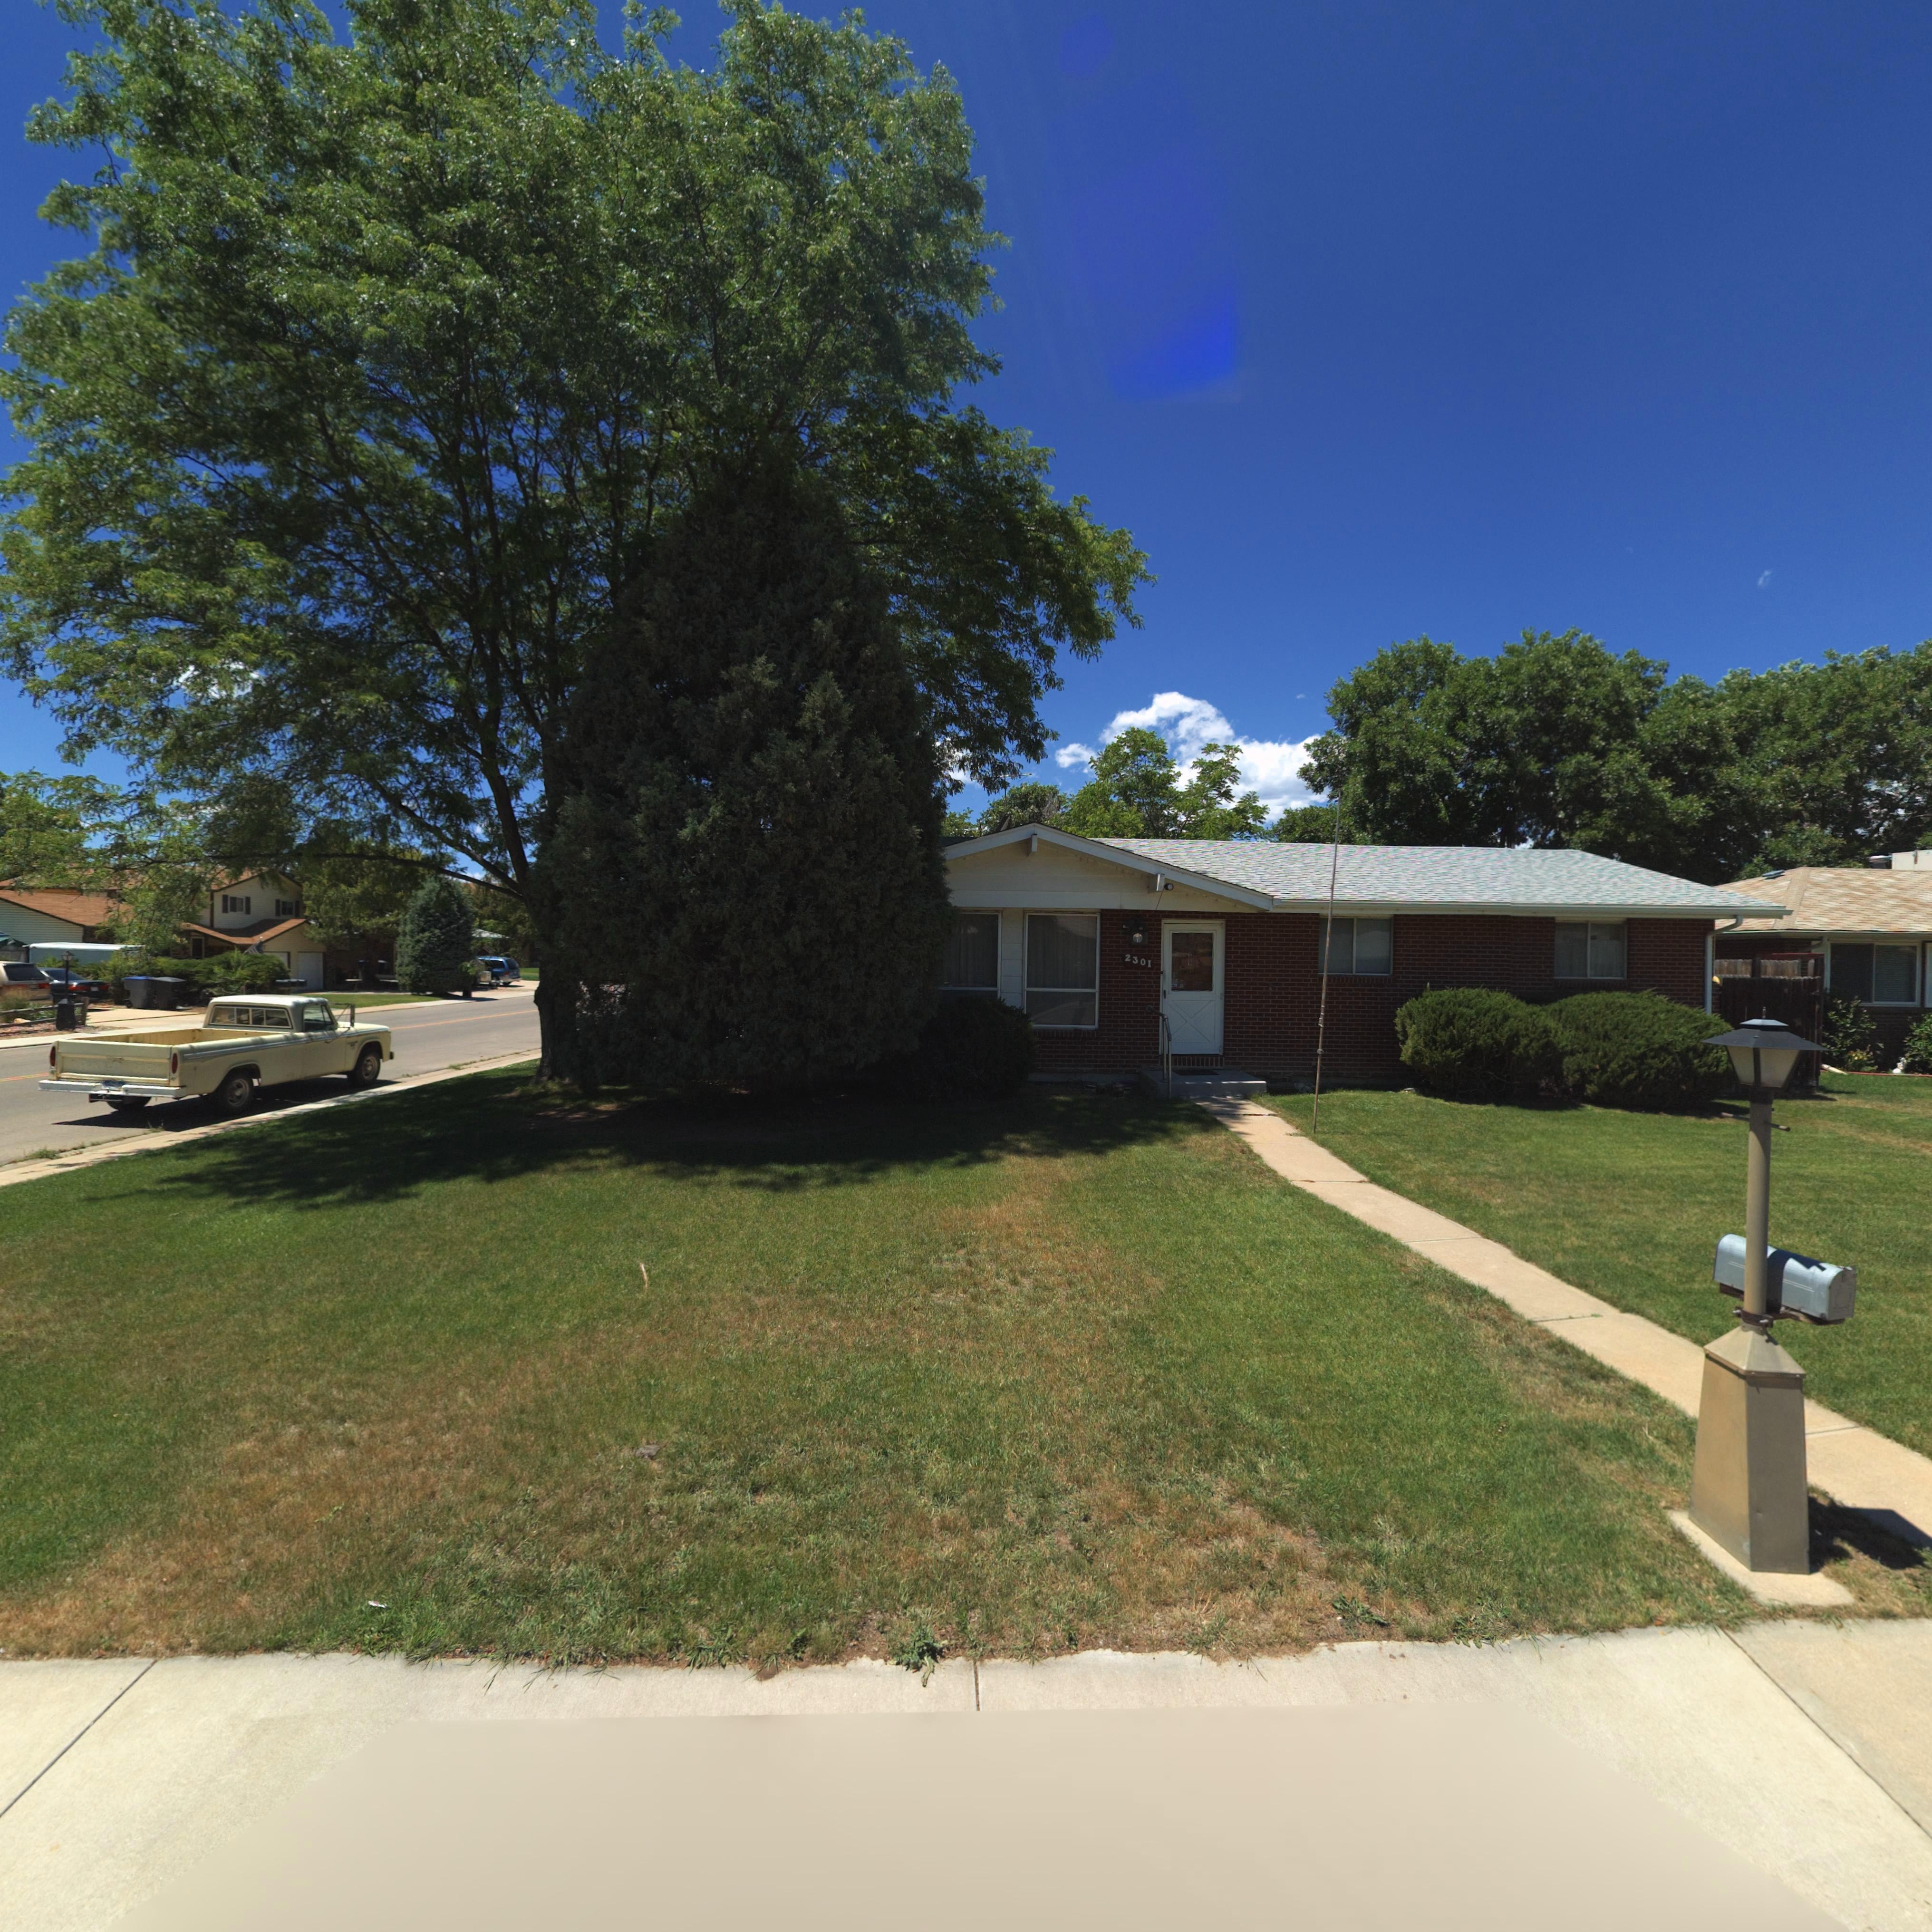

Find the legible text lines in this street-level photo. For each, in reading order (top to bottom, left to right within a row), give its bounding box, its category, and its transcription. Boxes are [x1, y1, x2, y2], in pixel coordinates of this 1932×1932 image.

[1123, 953, 1153, 968] StreetNumber: 2301